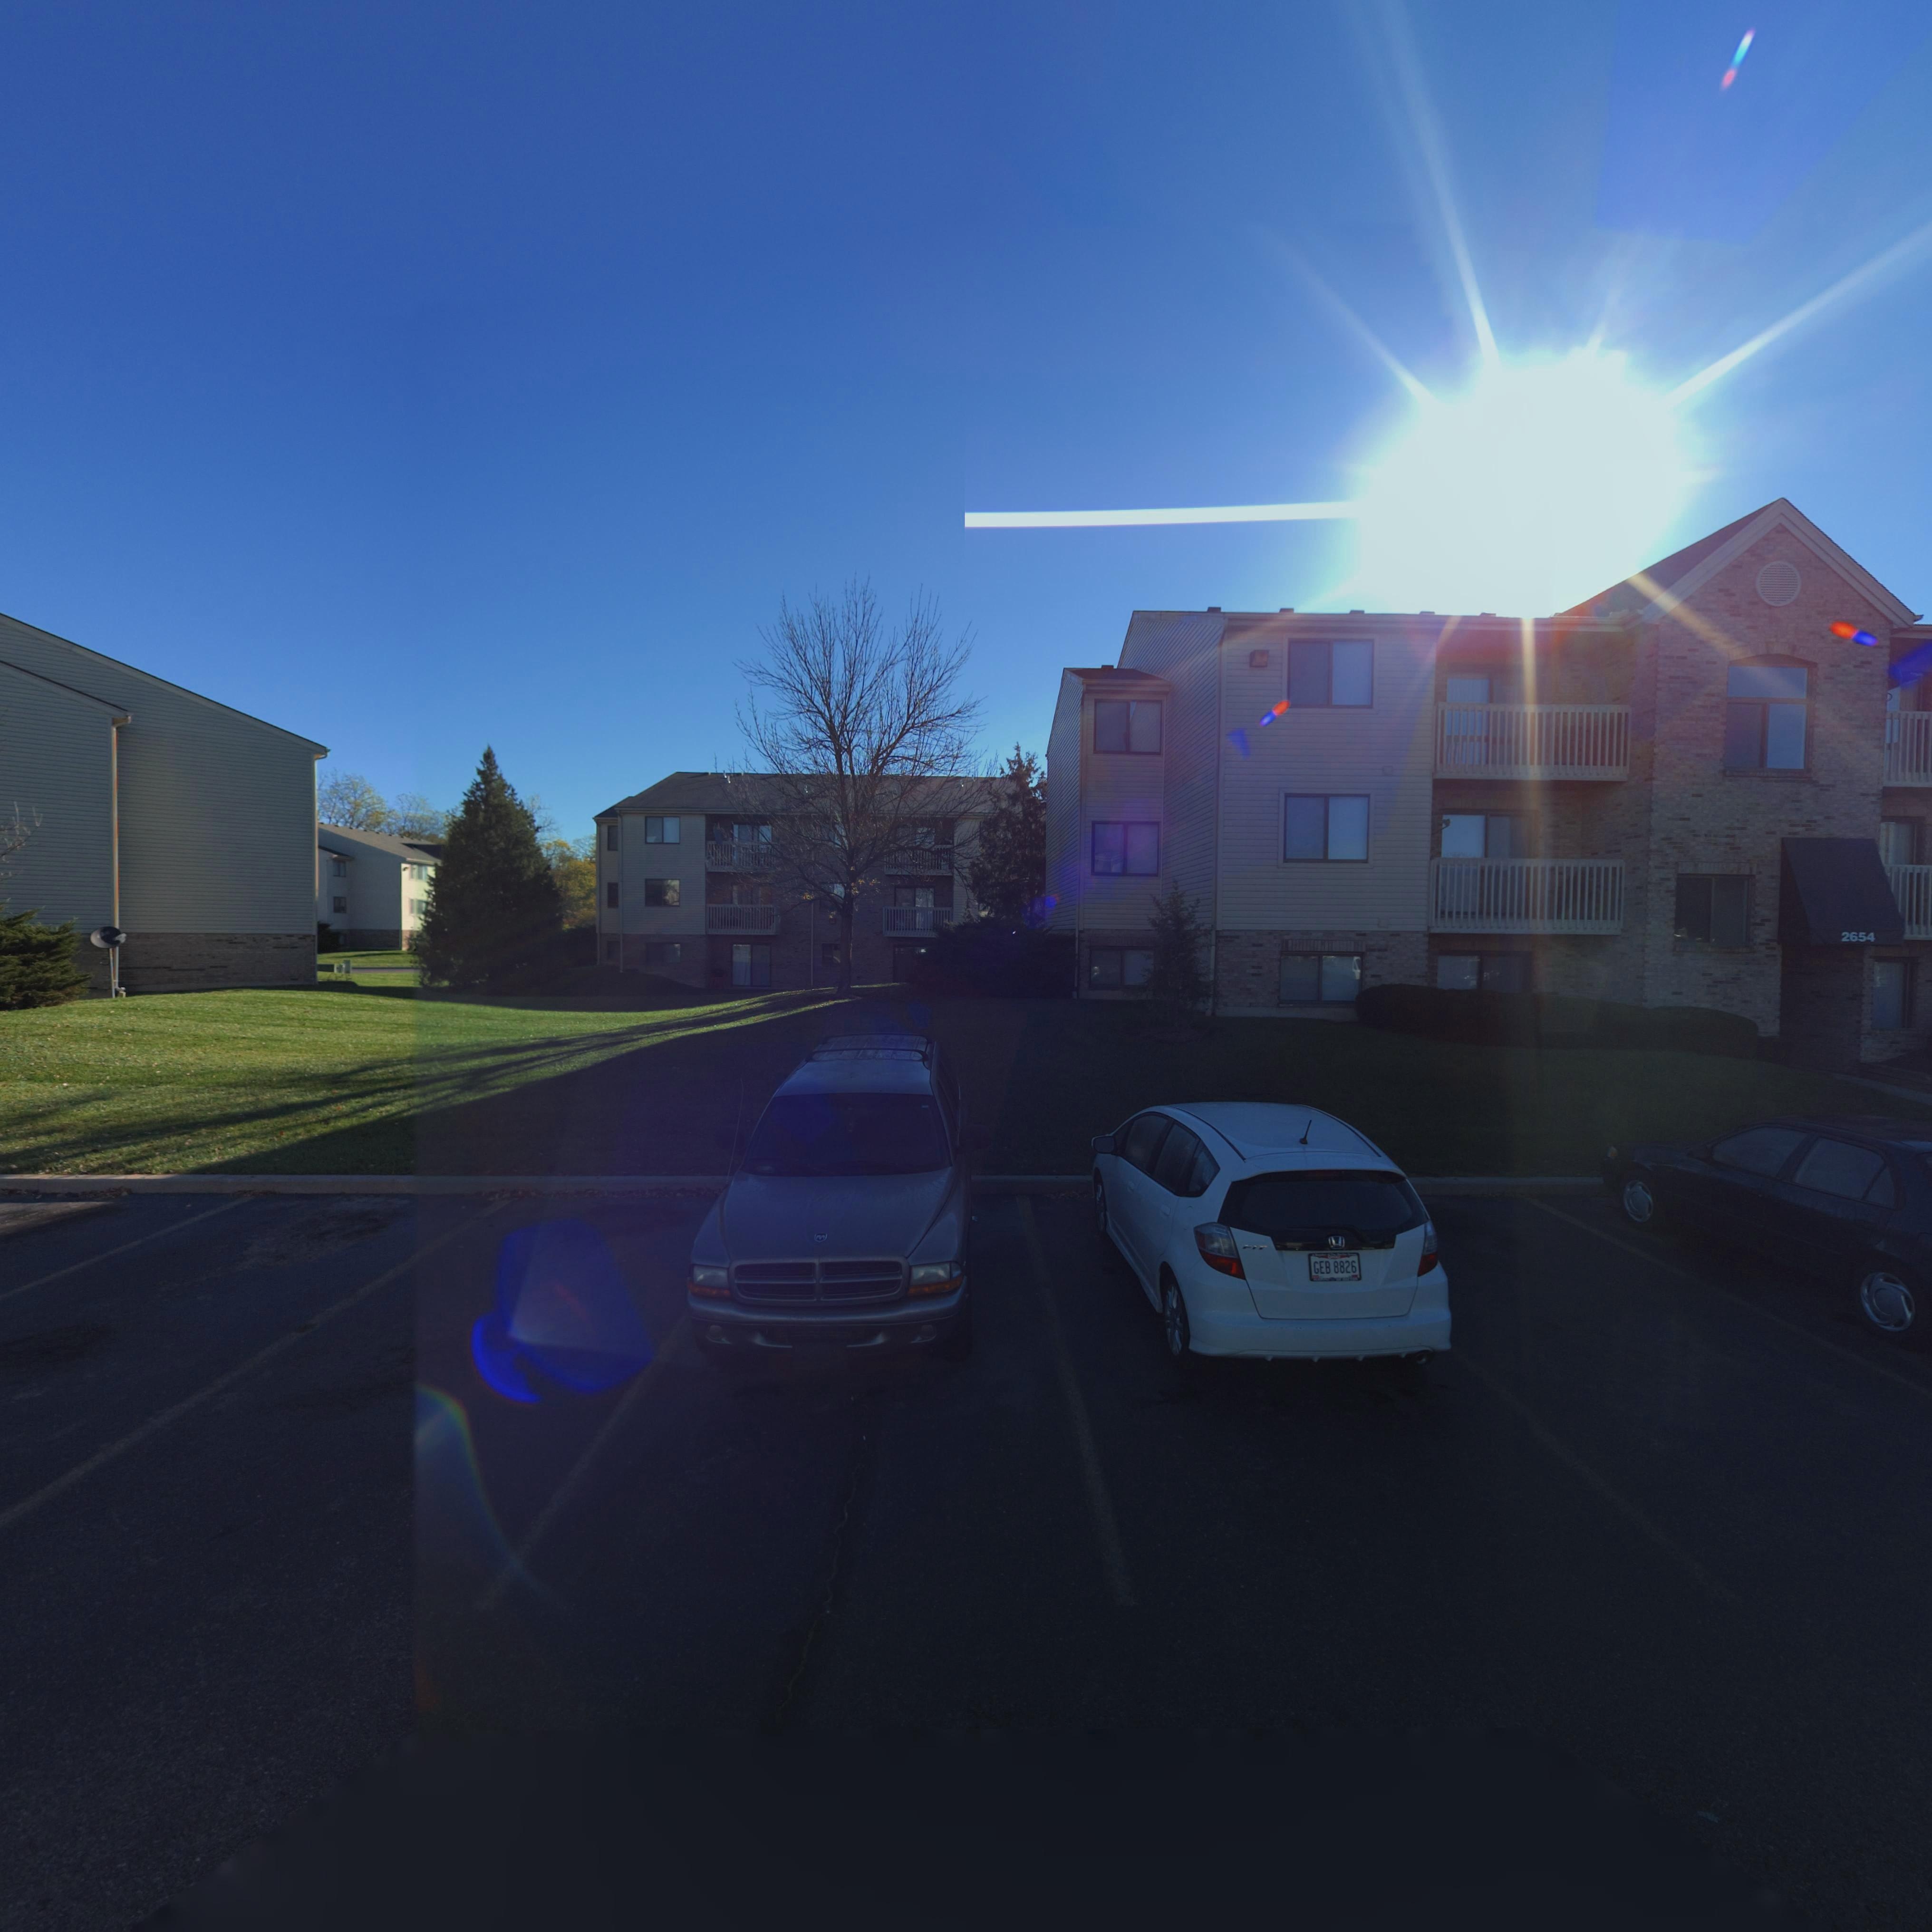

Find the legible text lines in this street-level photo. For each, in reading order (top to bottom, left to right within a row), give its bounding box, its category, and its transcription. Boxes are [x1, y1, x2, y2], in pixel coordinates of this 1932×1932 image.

[1840, 930, 1876, 943] StreetNumber: 2654